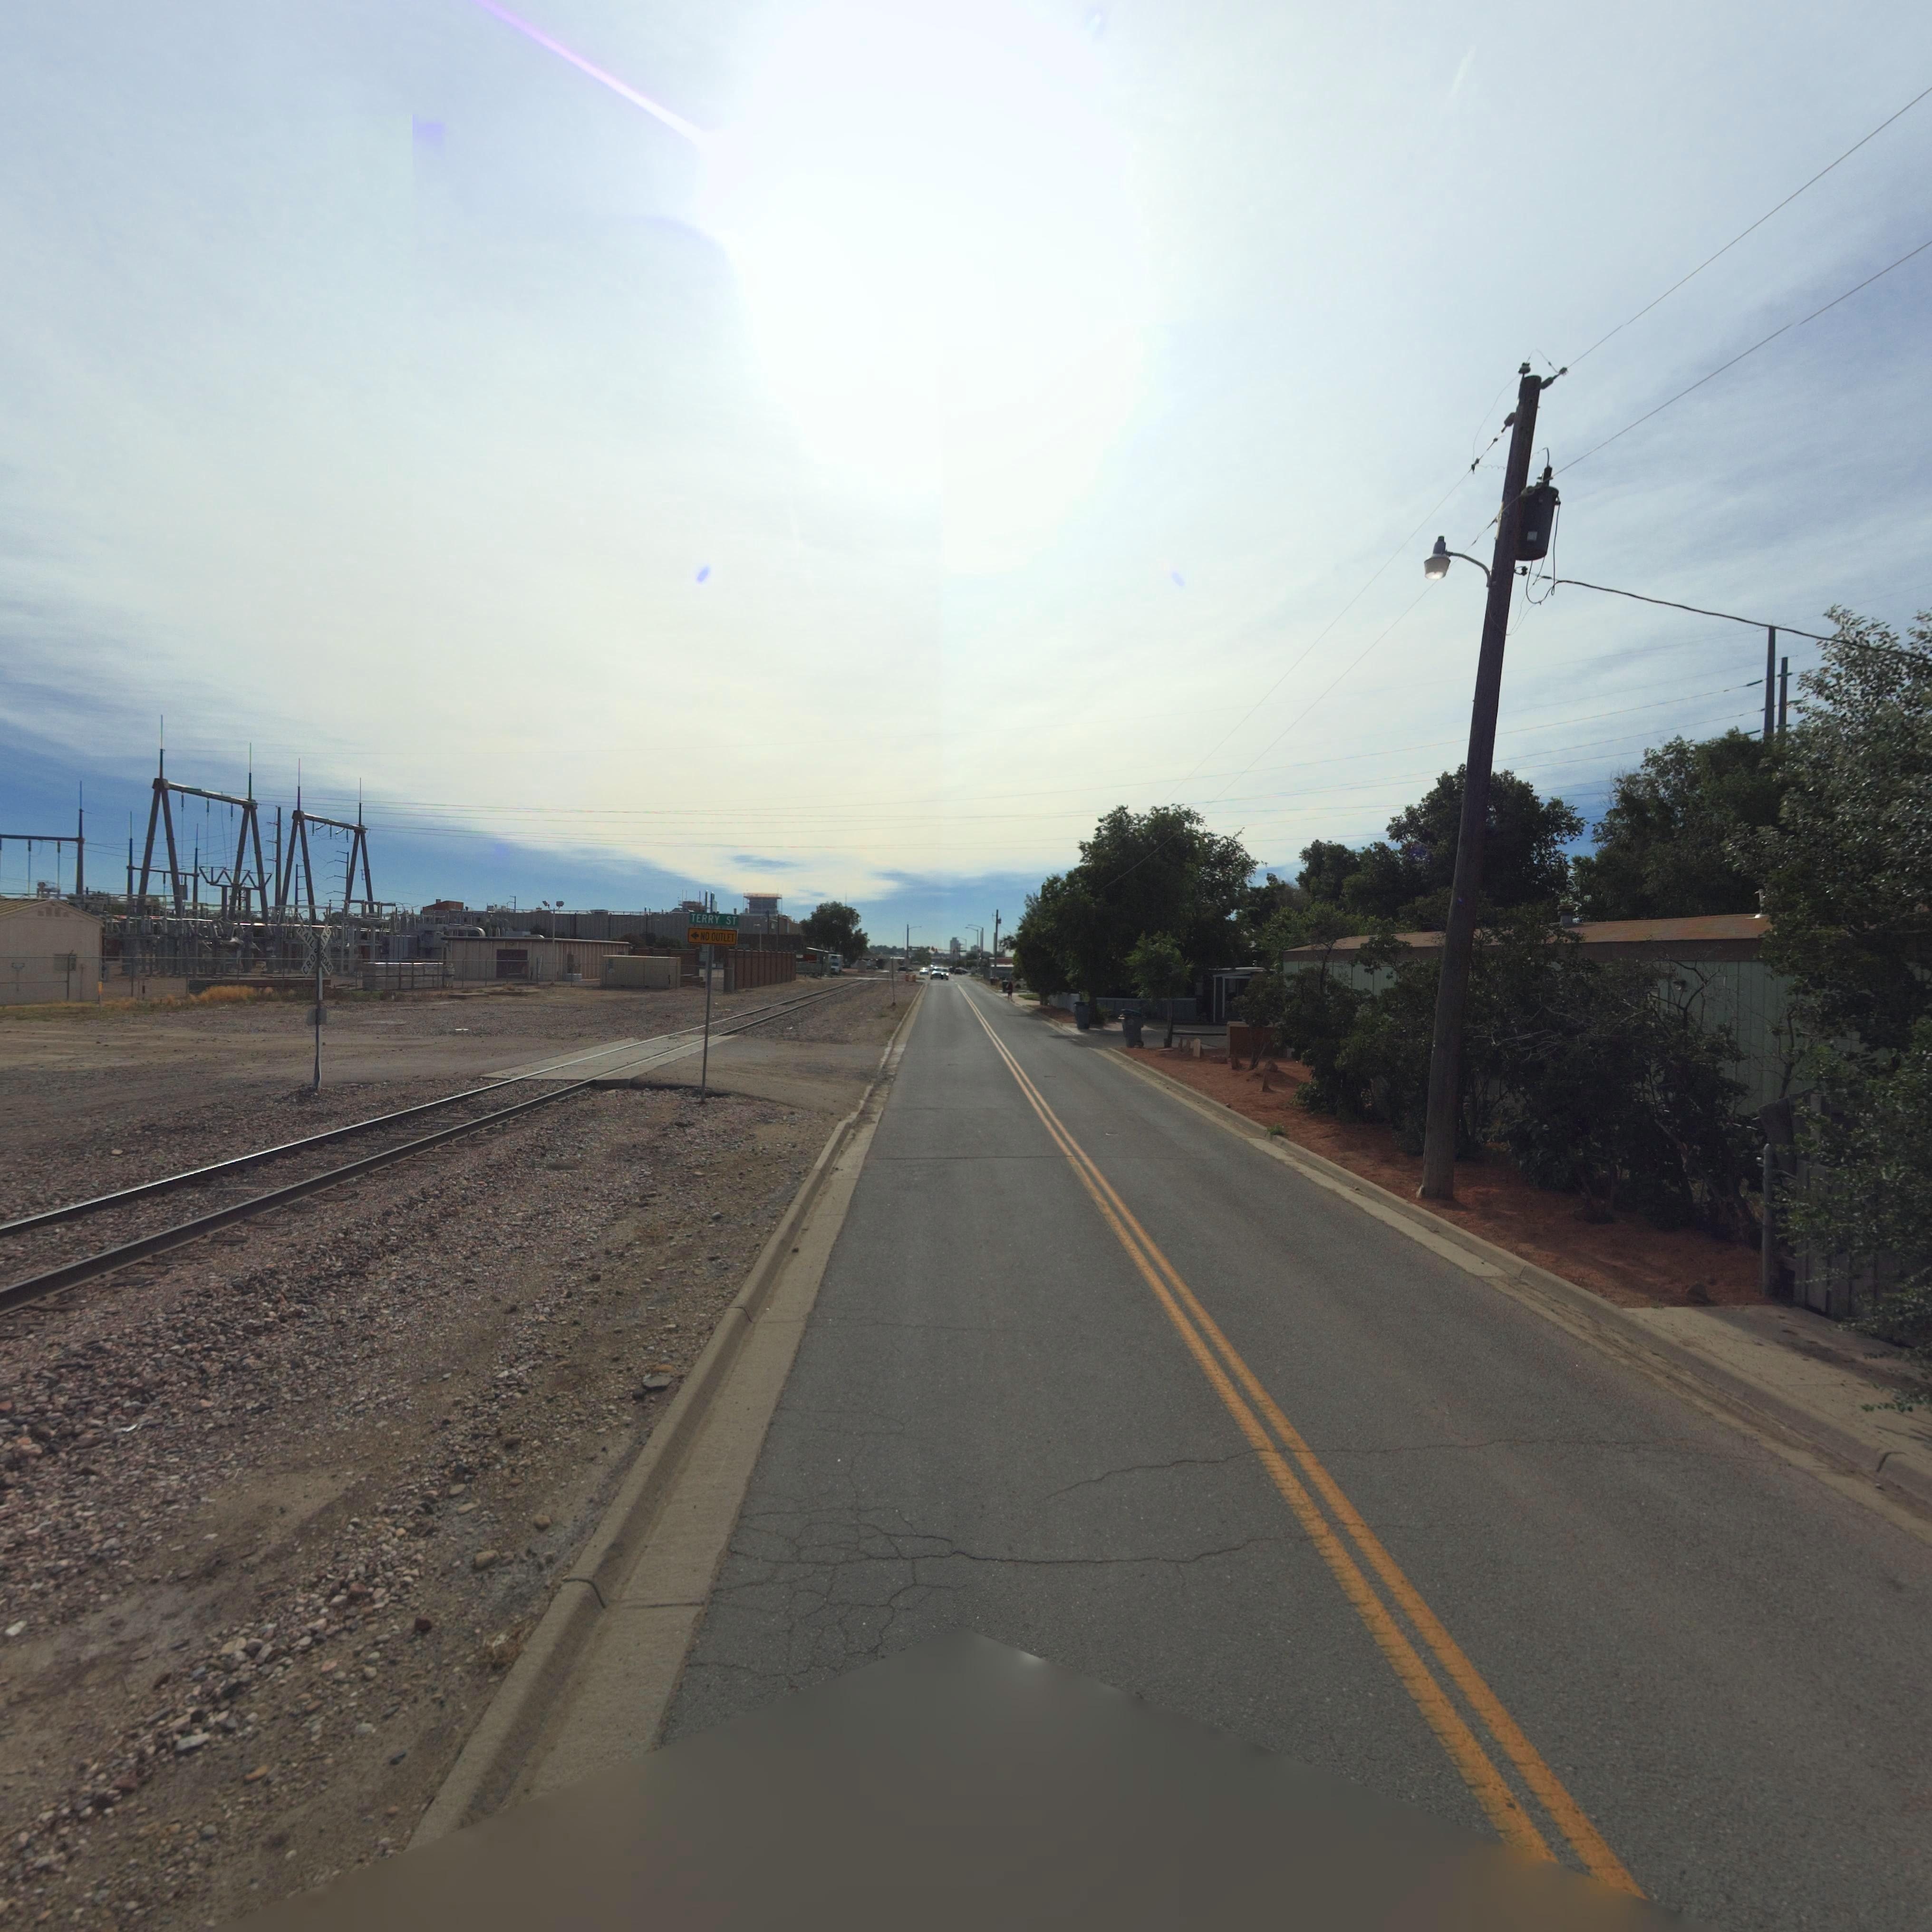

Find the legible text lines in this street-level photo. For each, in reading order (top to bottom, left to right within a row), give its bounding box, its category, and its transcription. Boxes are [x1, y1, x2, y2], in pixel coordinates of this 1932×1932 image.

[690, 913, 737, 925] StreetName: TERRY ST